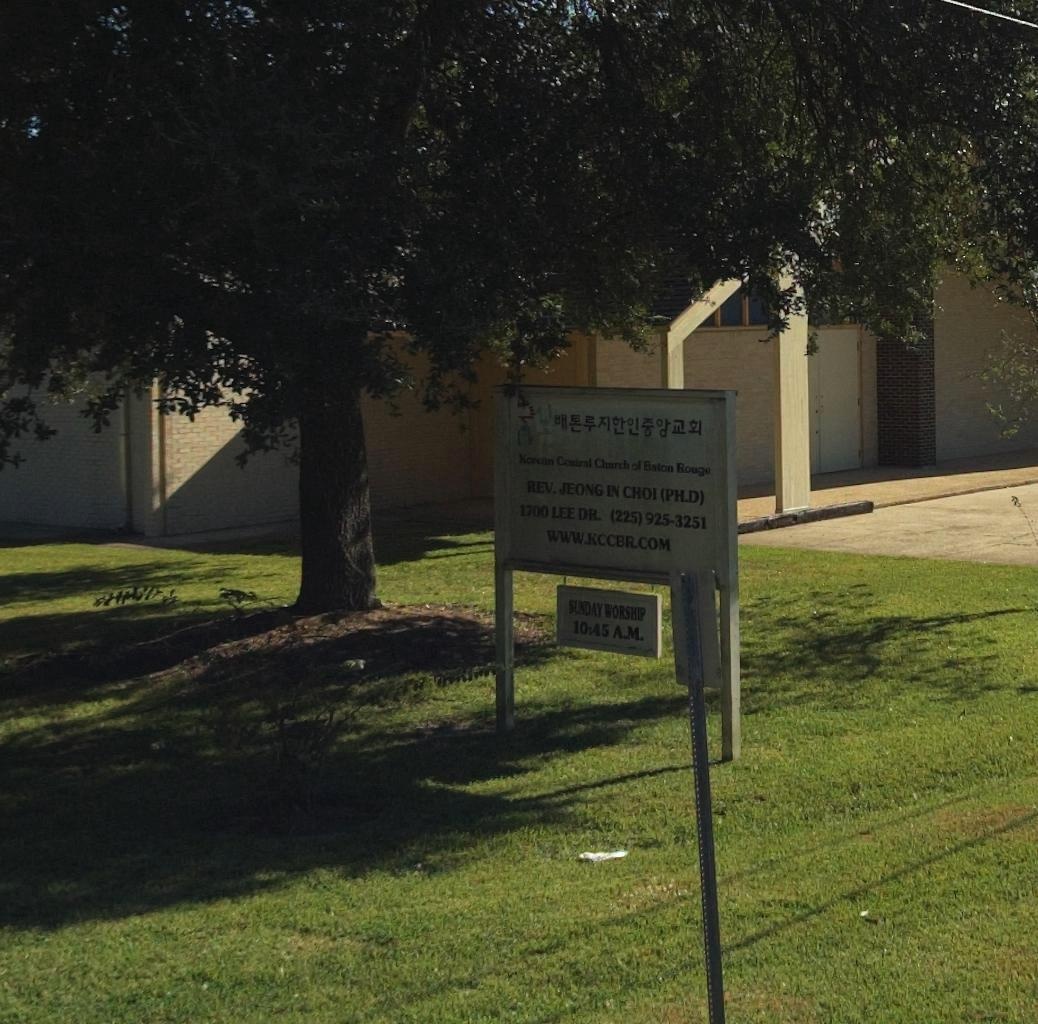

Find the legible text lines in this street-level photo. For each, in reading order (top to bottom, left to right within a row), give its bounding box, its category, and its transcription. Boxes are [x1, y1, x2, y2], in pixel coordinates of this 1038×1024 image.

[516, 449, 713, 478] BusinessName: Ko***n Central Church of Baton Roug*
[524, 476, 707, 510] None: REV. JEONG IN CHOI (PH.D)
[518, 502, 550, 520] StreetNumber: 1700
[550, 504, 604, 523] StreetName: LEE DR.
[608, 506, 709, 532] None: (225) 925-3251
[544, 526, 673, 554] None: WWW.KCCBR.COM
[566, 595, 648, 624] None: SUNDAY WORSHIP
[570, 616, 647, 645] None: 10:45 A.M.